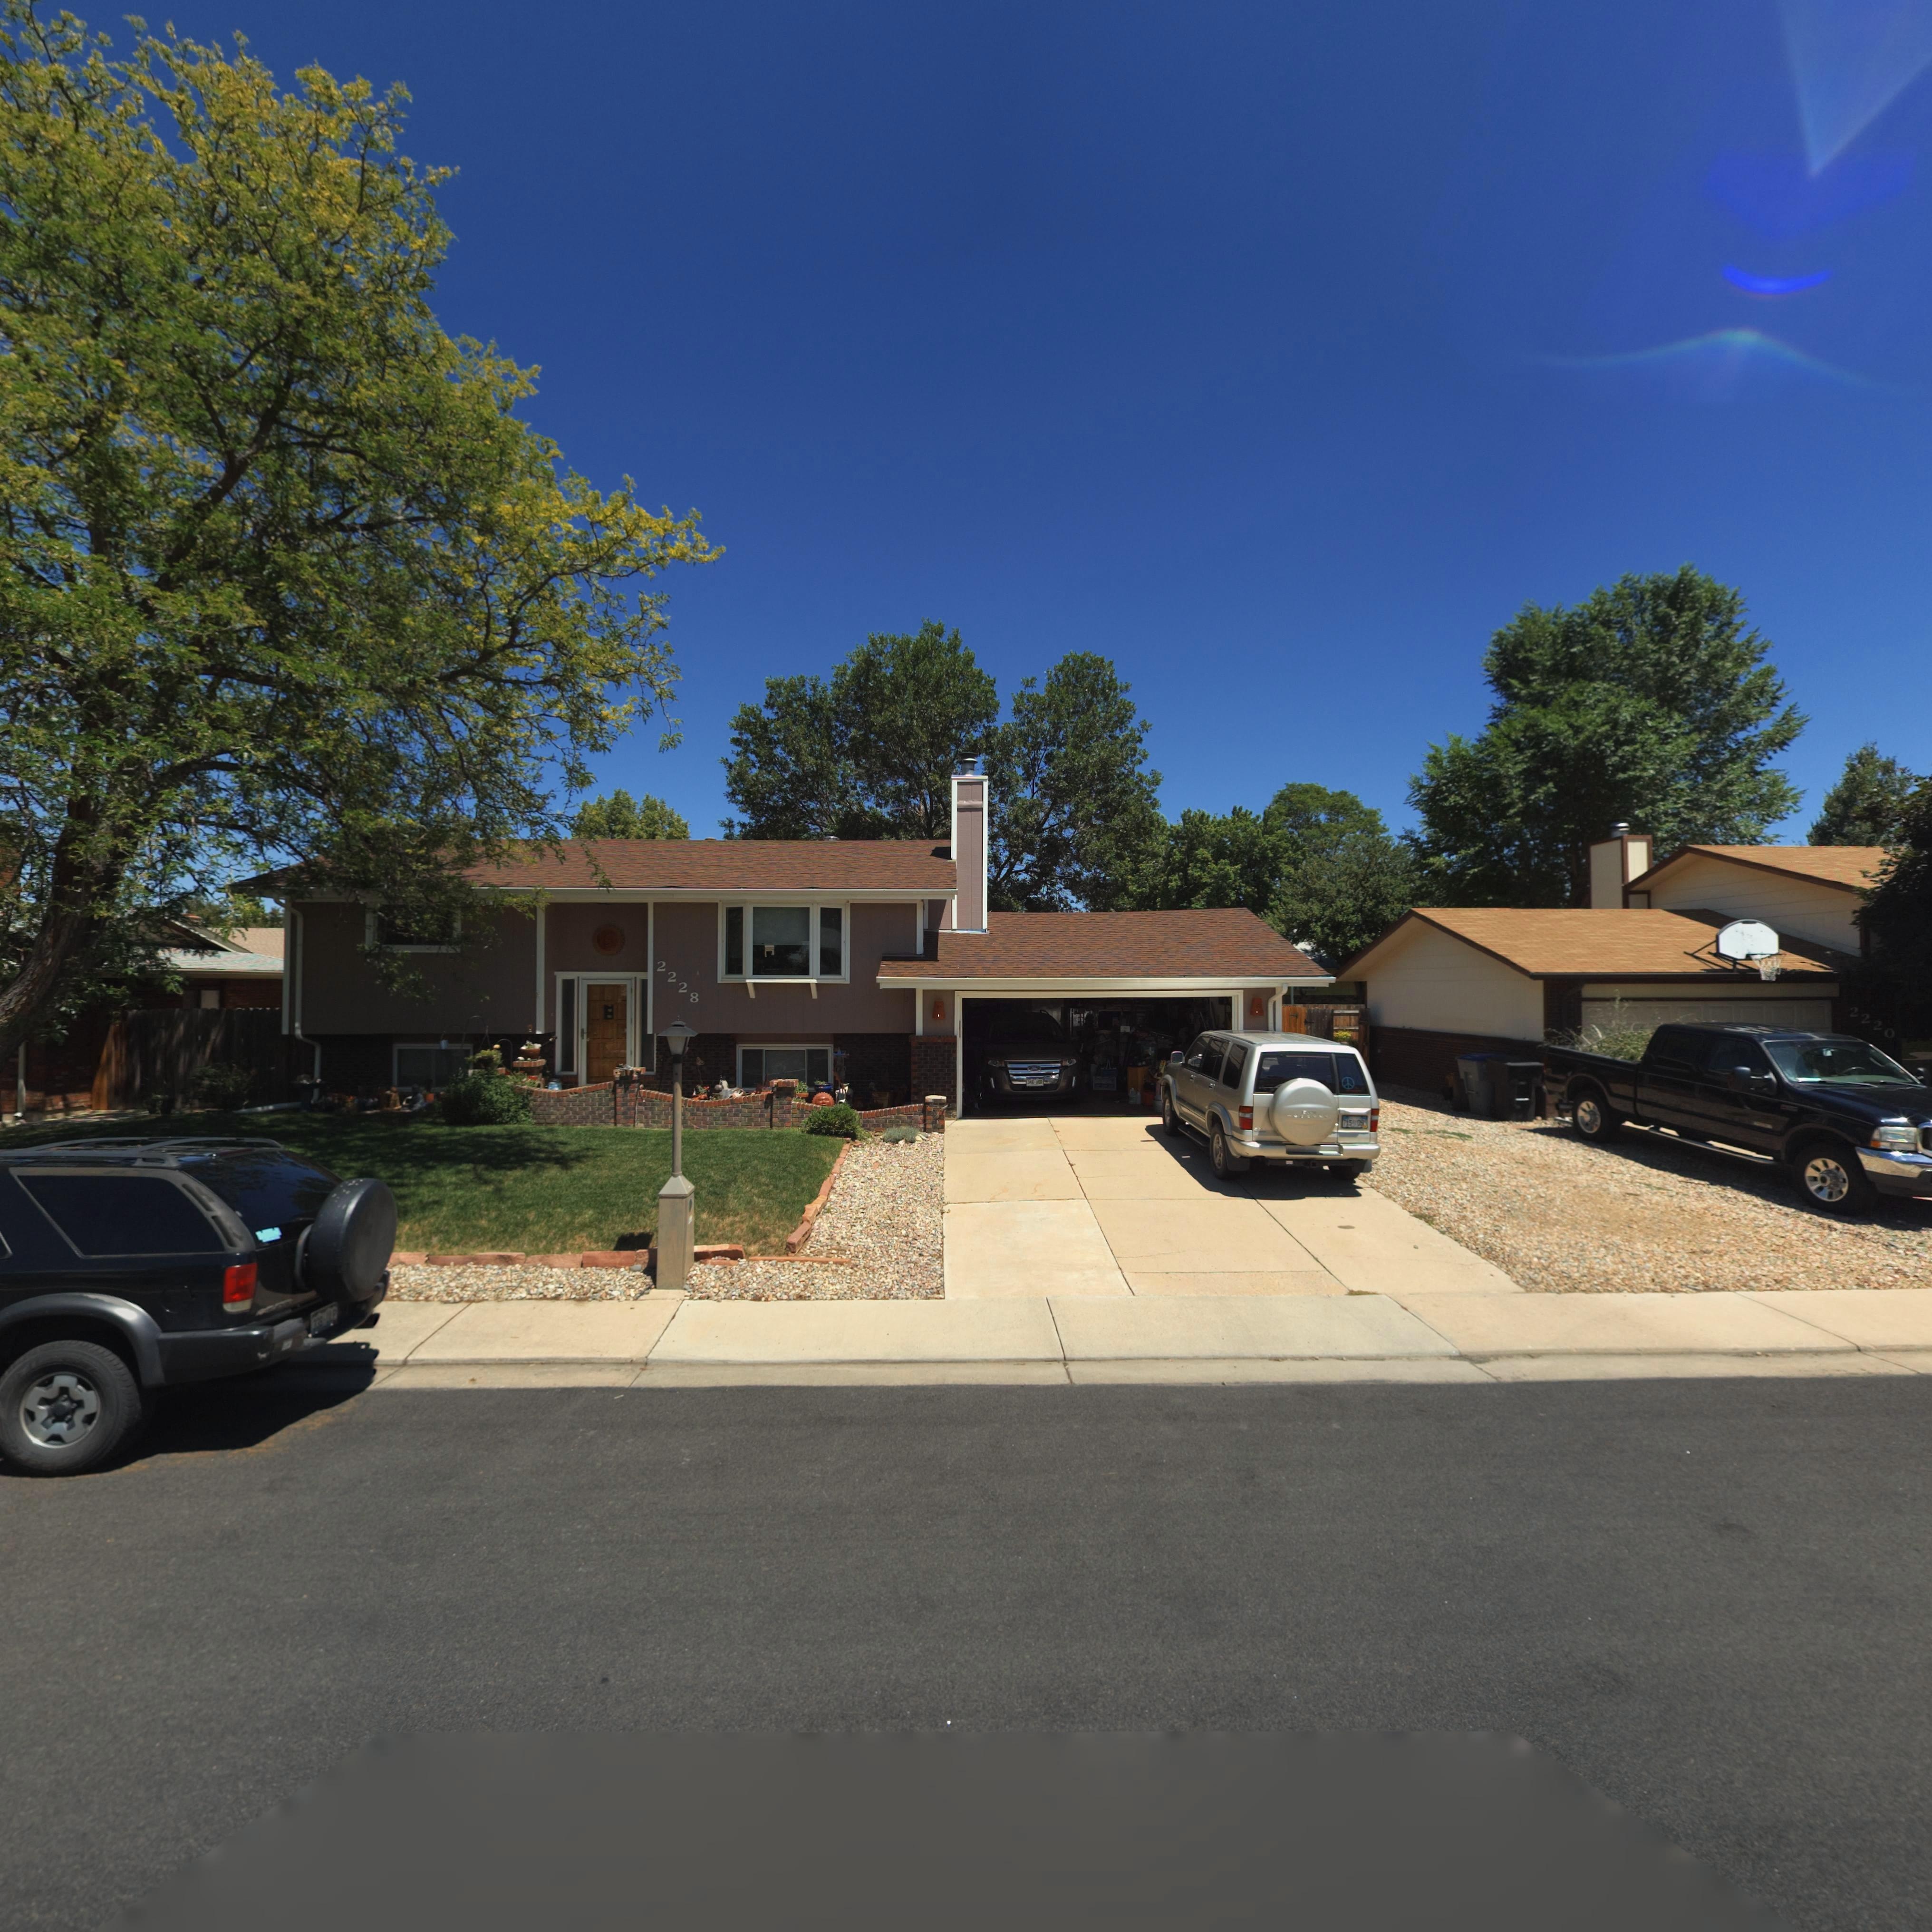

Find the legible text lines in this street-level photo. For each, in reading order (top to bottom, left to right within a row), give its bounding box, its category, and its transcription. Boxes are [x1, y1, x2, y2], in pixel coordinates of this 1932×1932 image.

[656, 960, 700, 1004] StreetNumber: 2228